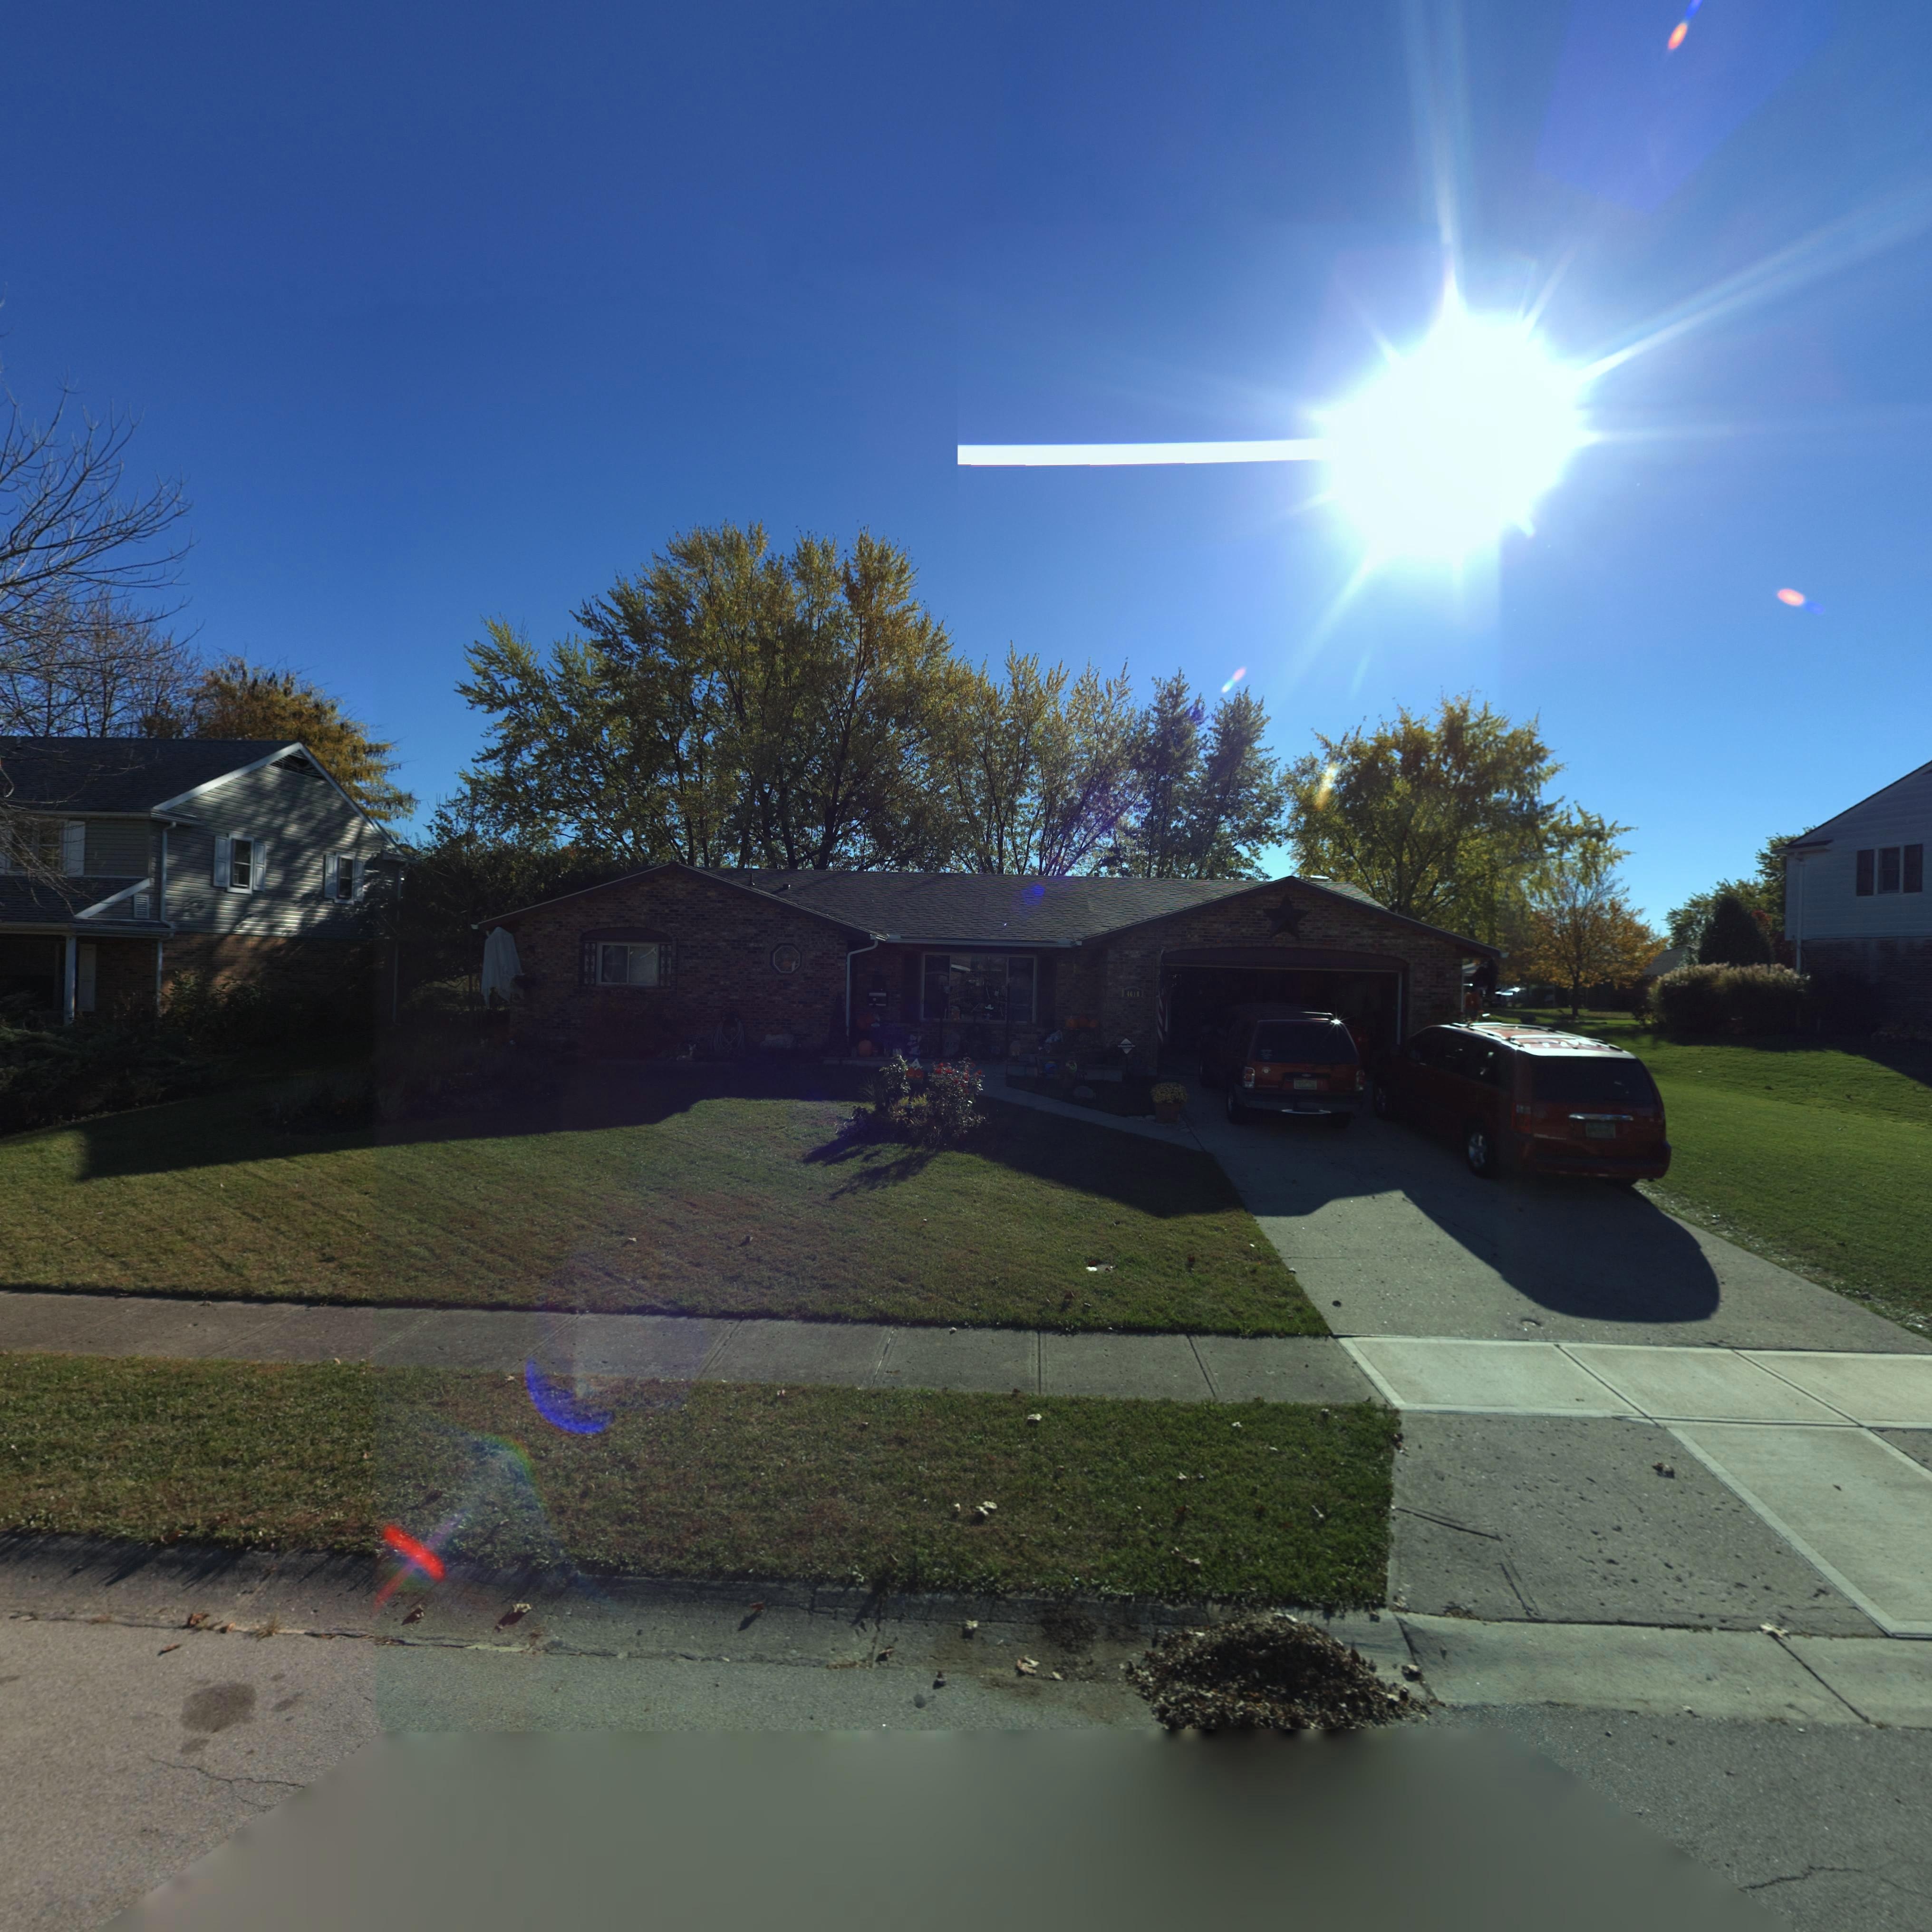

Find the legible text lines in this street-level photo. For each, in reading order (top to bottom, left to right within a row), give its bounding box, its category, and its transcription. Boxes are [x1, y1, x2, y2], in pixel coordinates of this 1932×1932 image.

[1126, 991, 1140, 997] StreetNumber: 4613